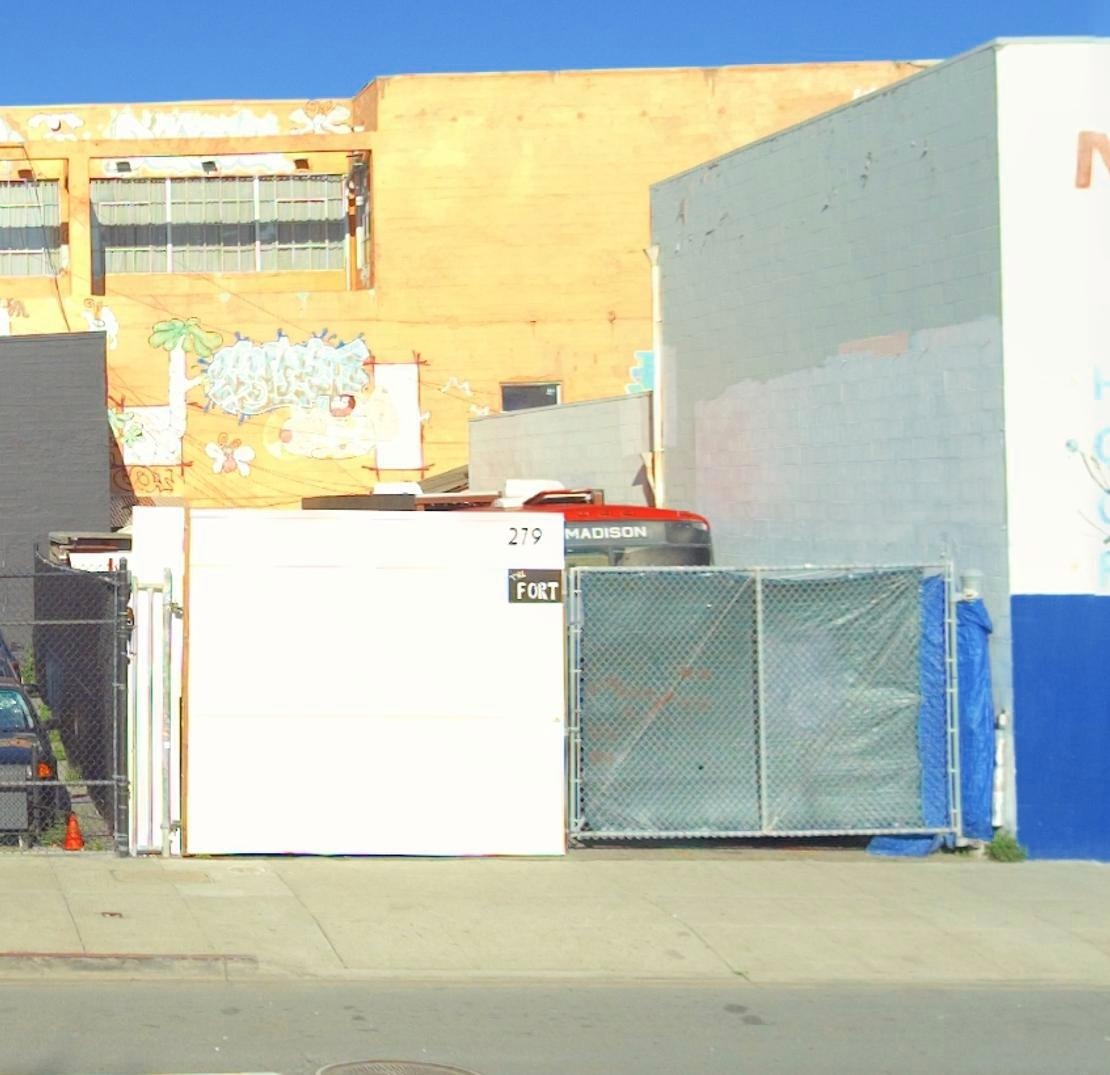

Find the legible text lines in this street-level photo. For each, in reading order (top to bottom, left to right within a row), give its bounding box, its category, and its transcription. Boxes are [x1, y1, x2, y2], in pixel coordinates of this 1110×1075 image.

[507, 527, 543, 546] StreetNumber: 279
[563, 525, 648, 541] None: MADISON
[515, 580, 560, 601] None: FORT